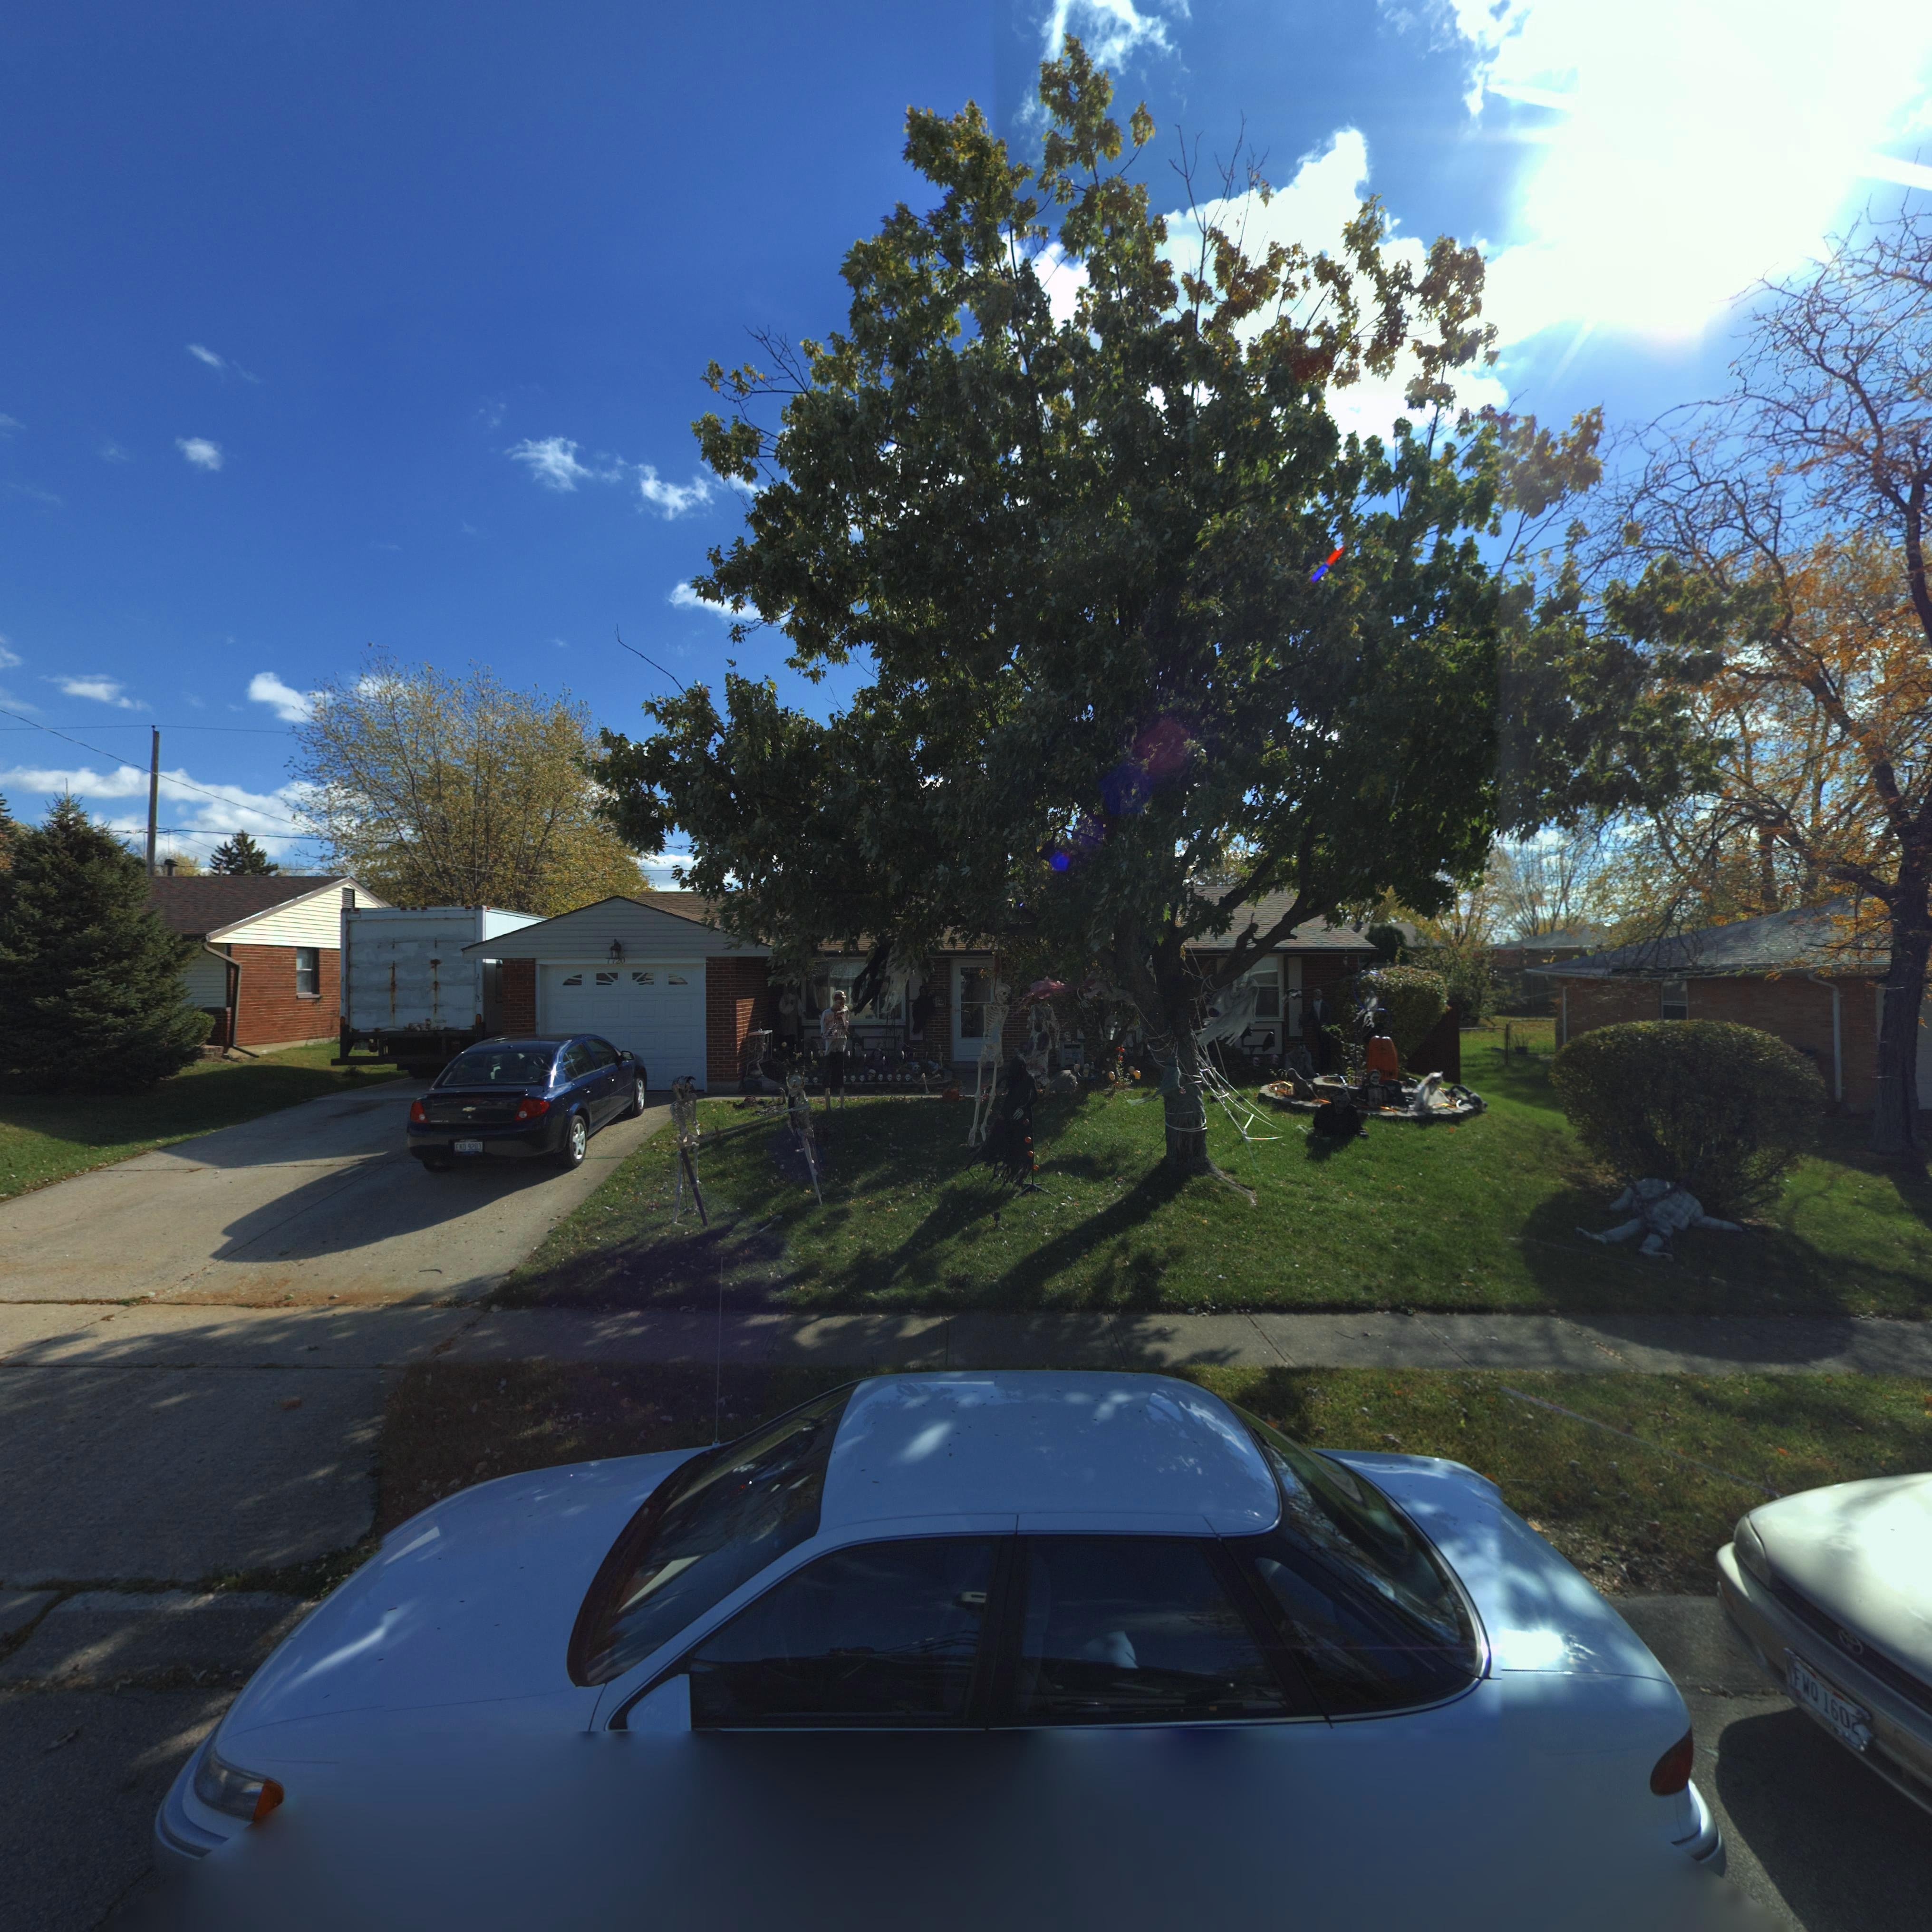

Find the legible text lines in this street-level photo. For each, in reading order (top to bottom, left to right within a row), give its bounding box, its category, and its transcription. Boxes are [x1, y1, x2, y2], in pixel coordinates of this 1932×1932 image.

[606, 956, 625, 964] StreetNumber: 7720